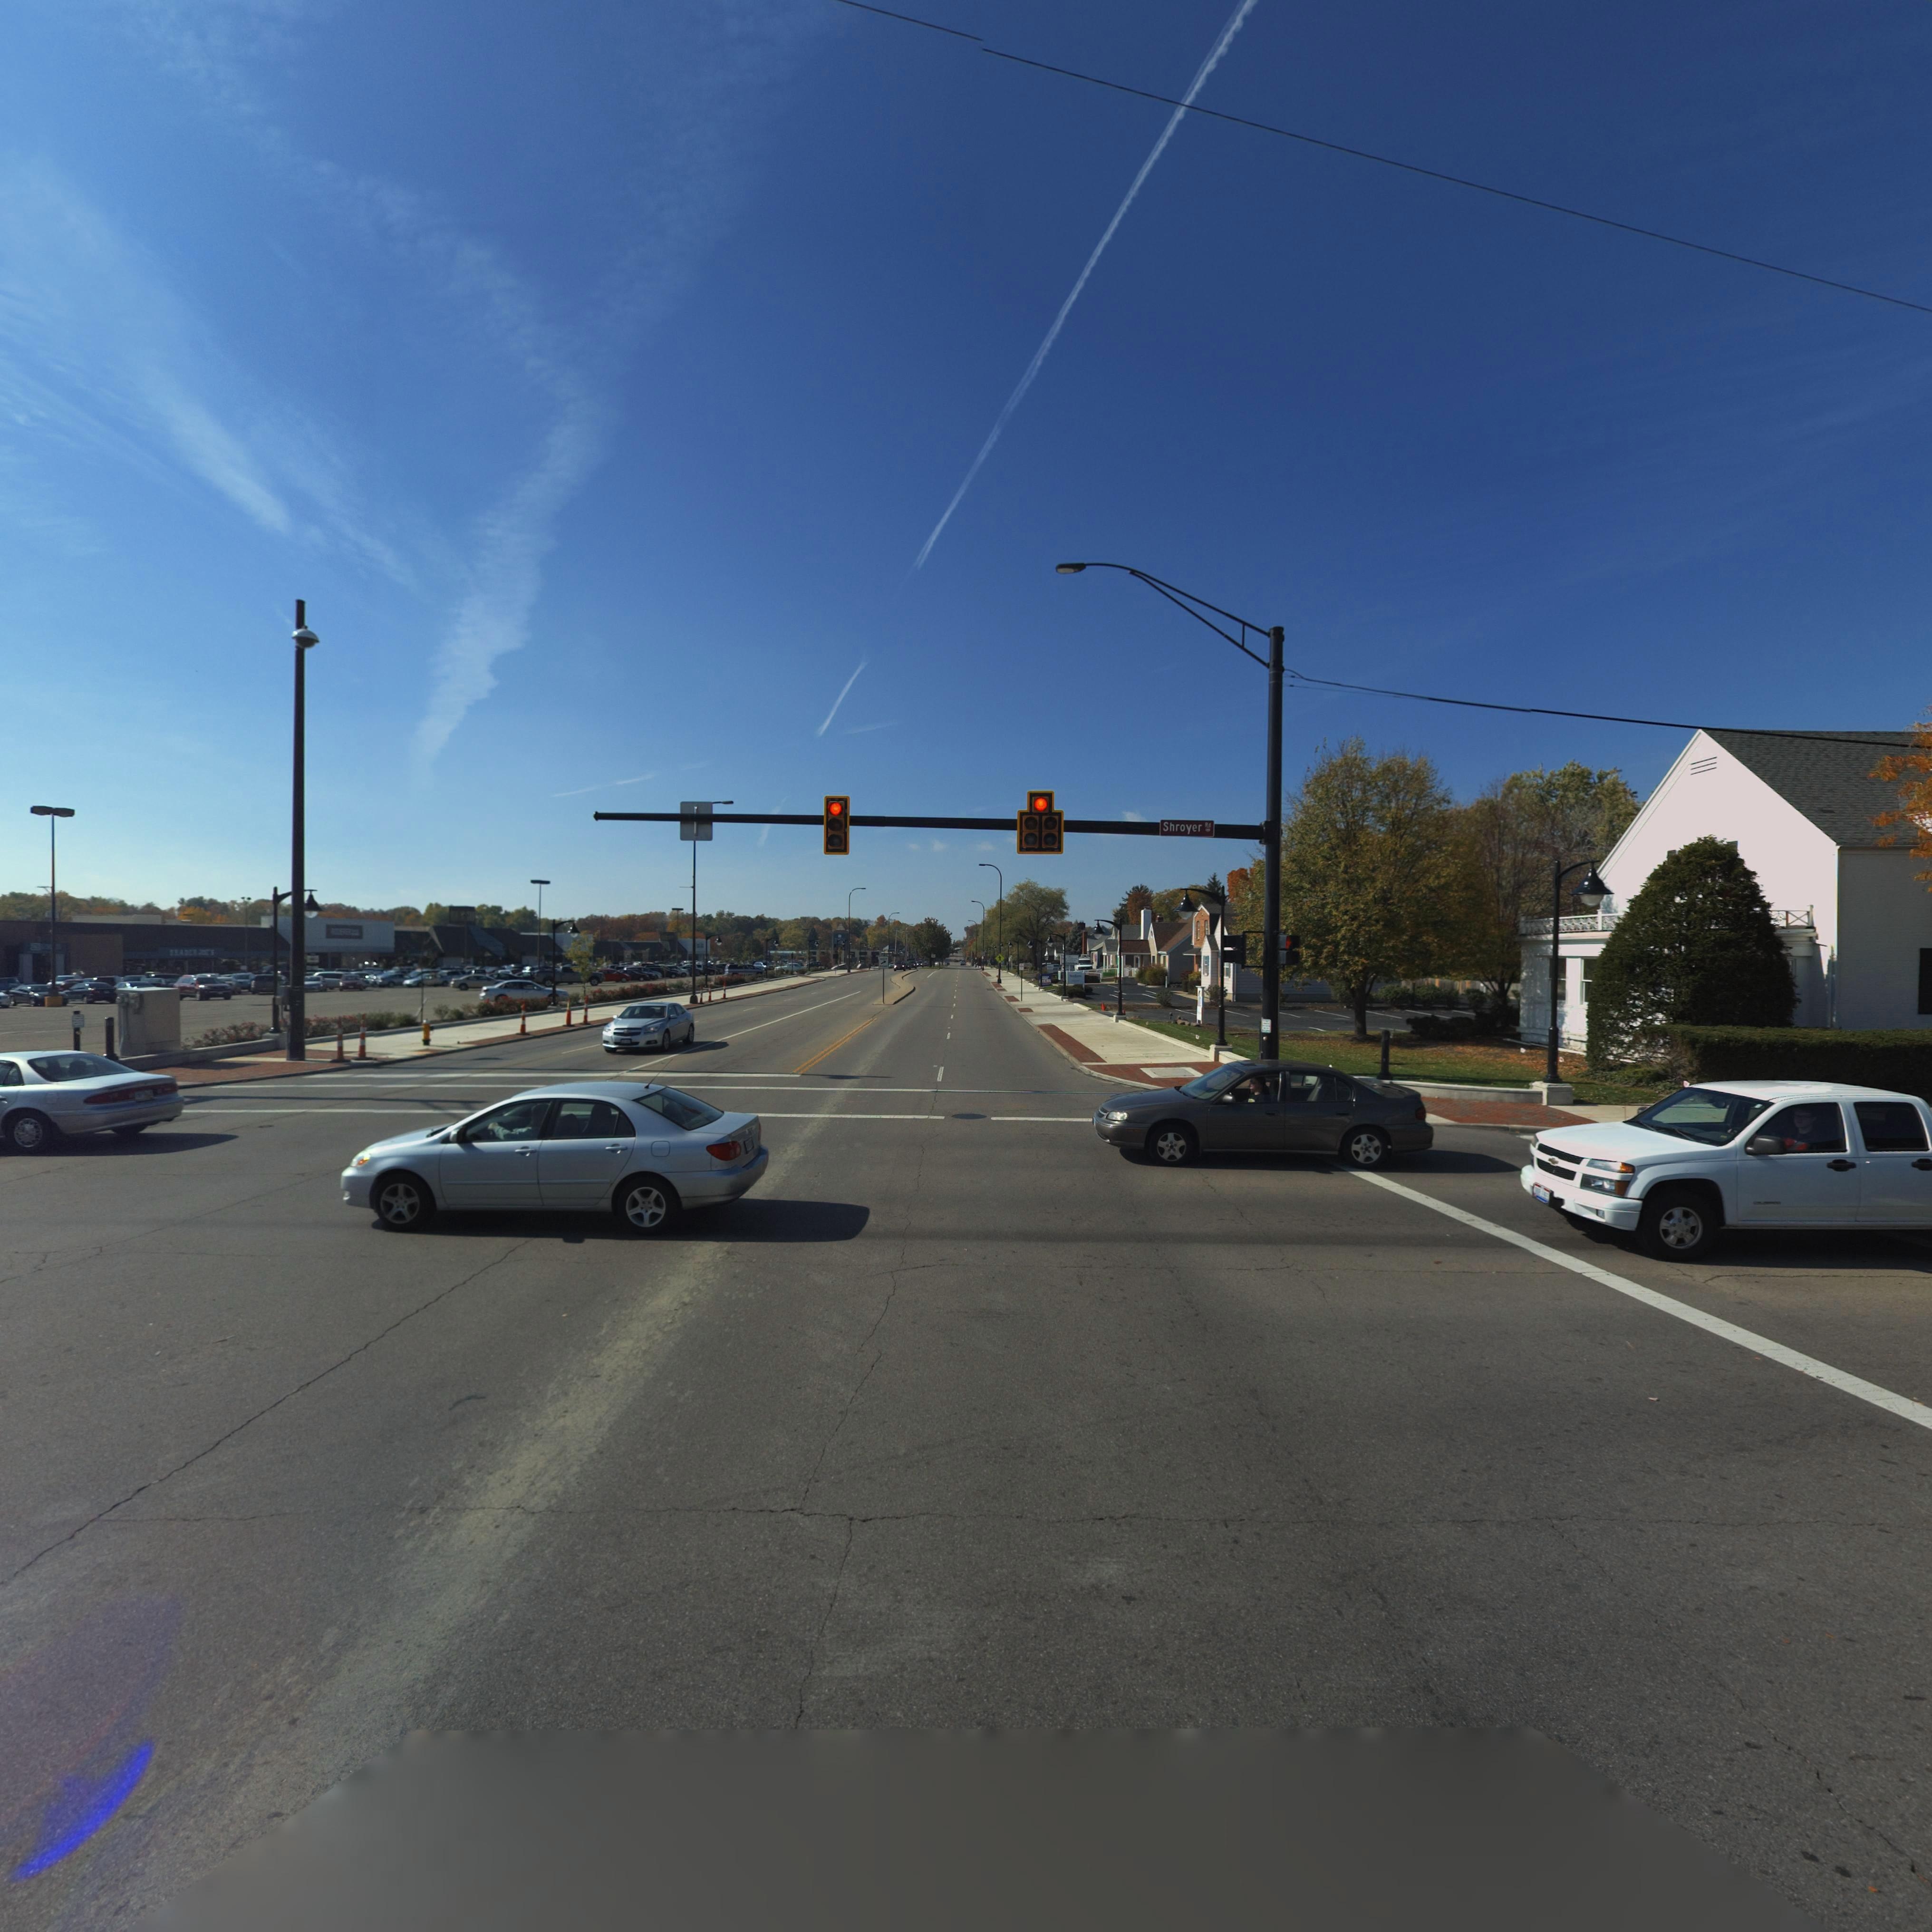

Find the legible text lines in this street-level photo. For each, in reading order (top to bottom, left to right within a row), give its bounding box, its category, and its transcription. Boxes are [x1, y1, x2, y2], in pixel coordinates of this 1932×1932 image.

[1162, 821, 1211, 835] StreetName: Shroyer Rd
[168, 949, 193, 956] BusinessName: TRADE